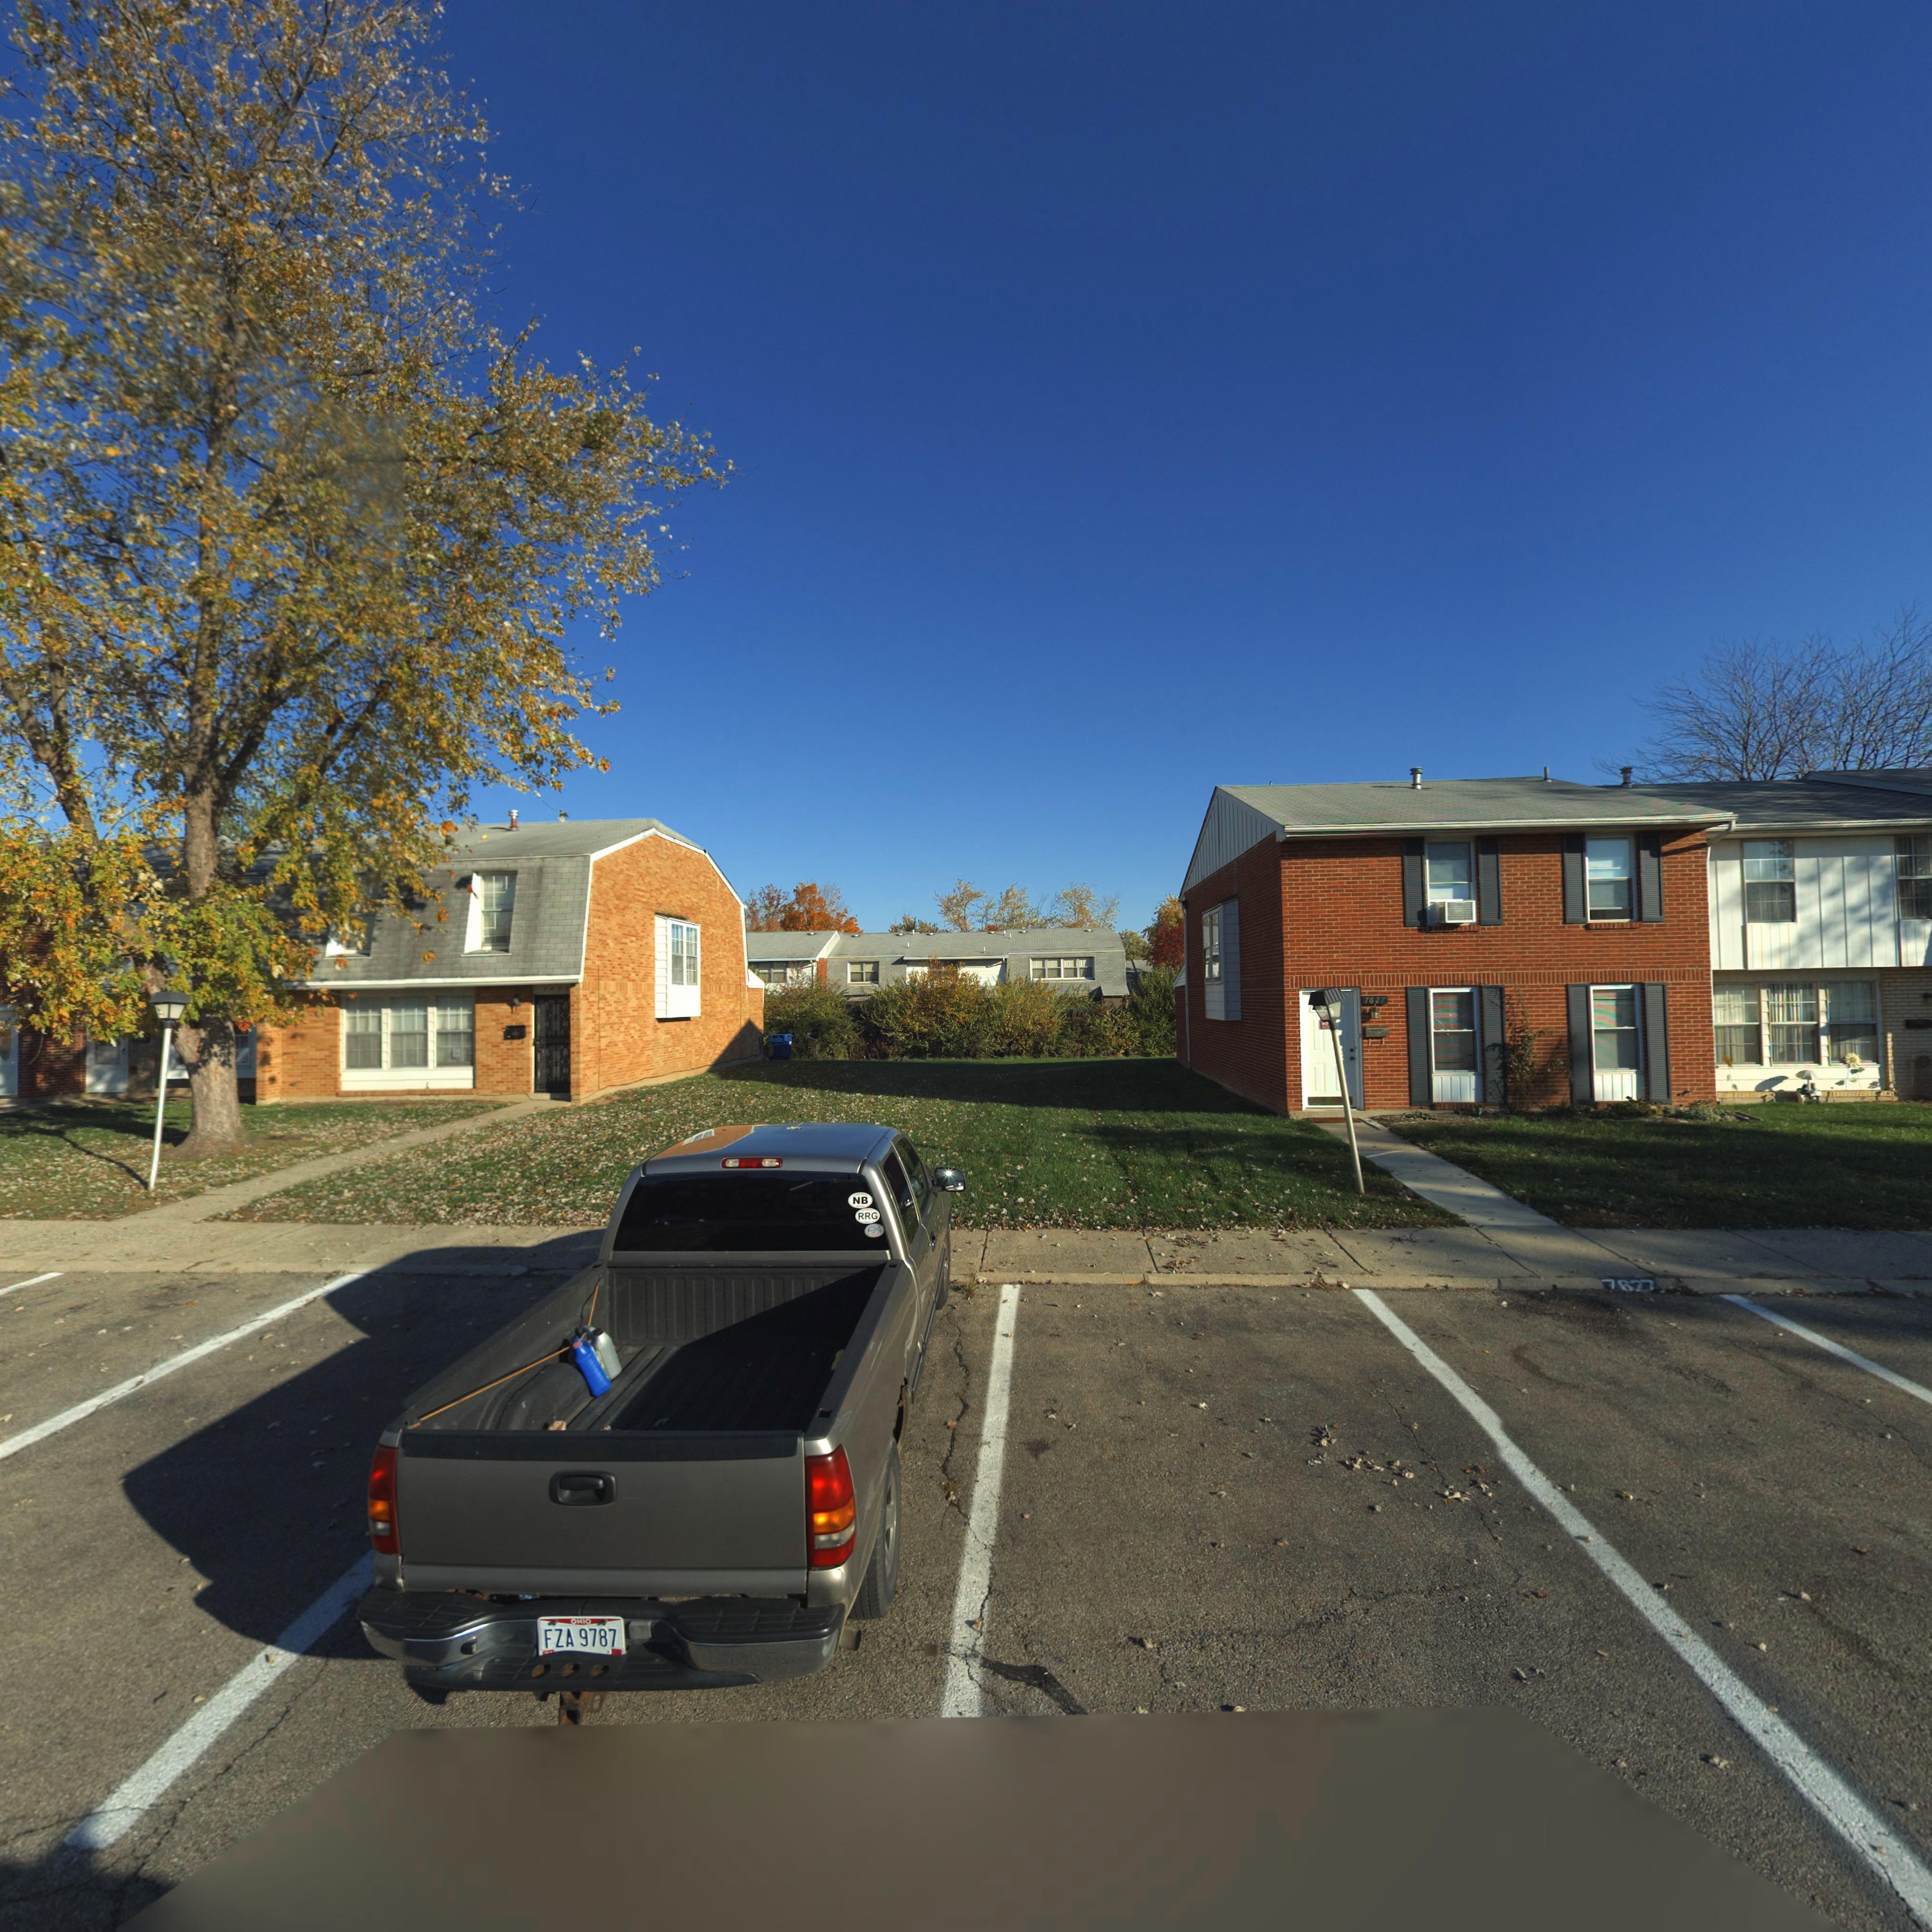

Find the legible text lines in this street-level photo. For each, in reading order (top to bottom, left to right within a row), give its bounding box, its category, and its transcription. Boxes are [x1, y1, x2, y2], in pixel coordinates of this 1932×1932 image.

[543, 985, 570, 992] StreetNumber: 76*3
[1364, 996, 1386, 1004] StreetNumber: 7627
[1599, 1278, 1655, 1293] StreetNumber: 7627